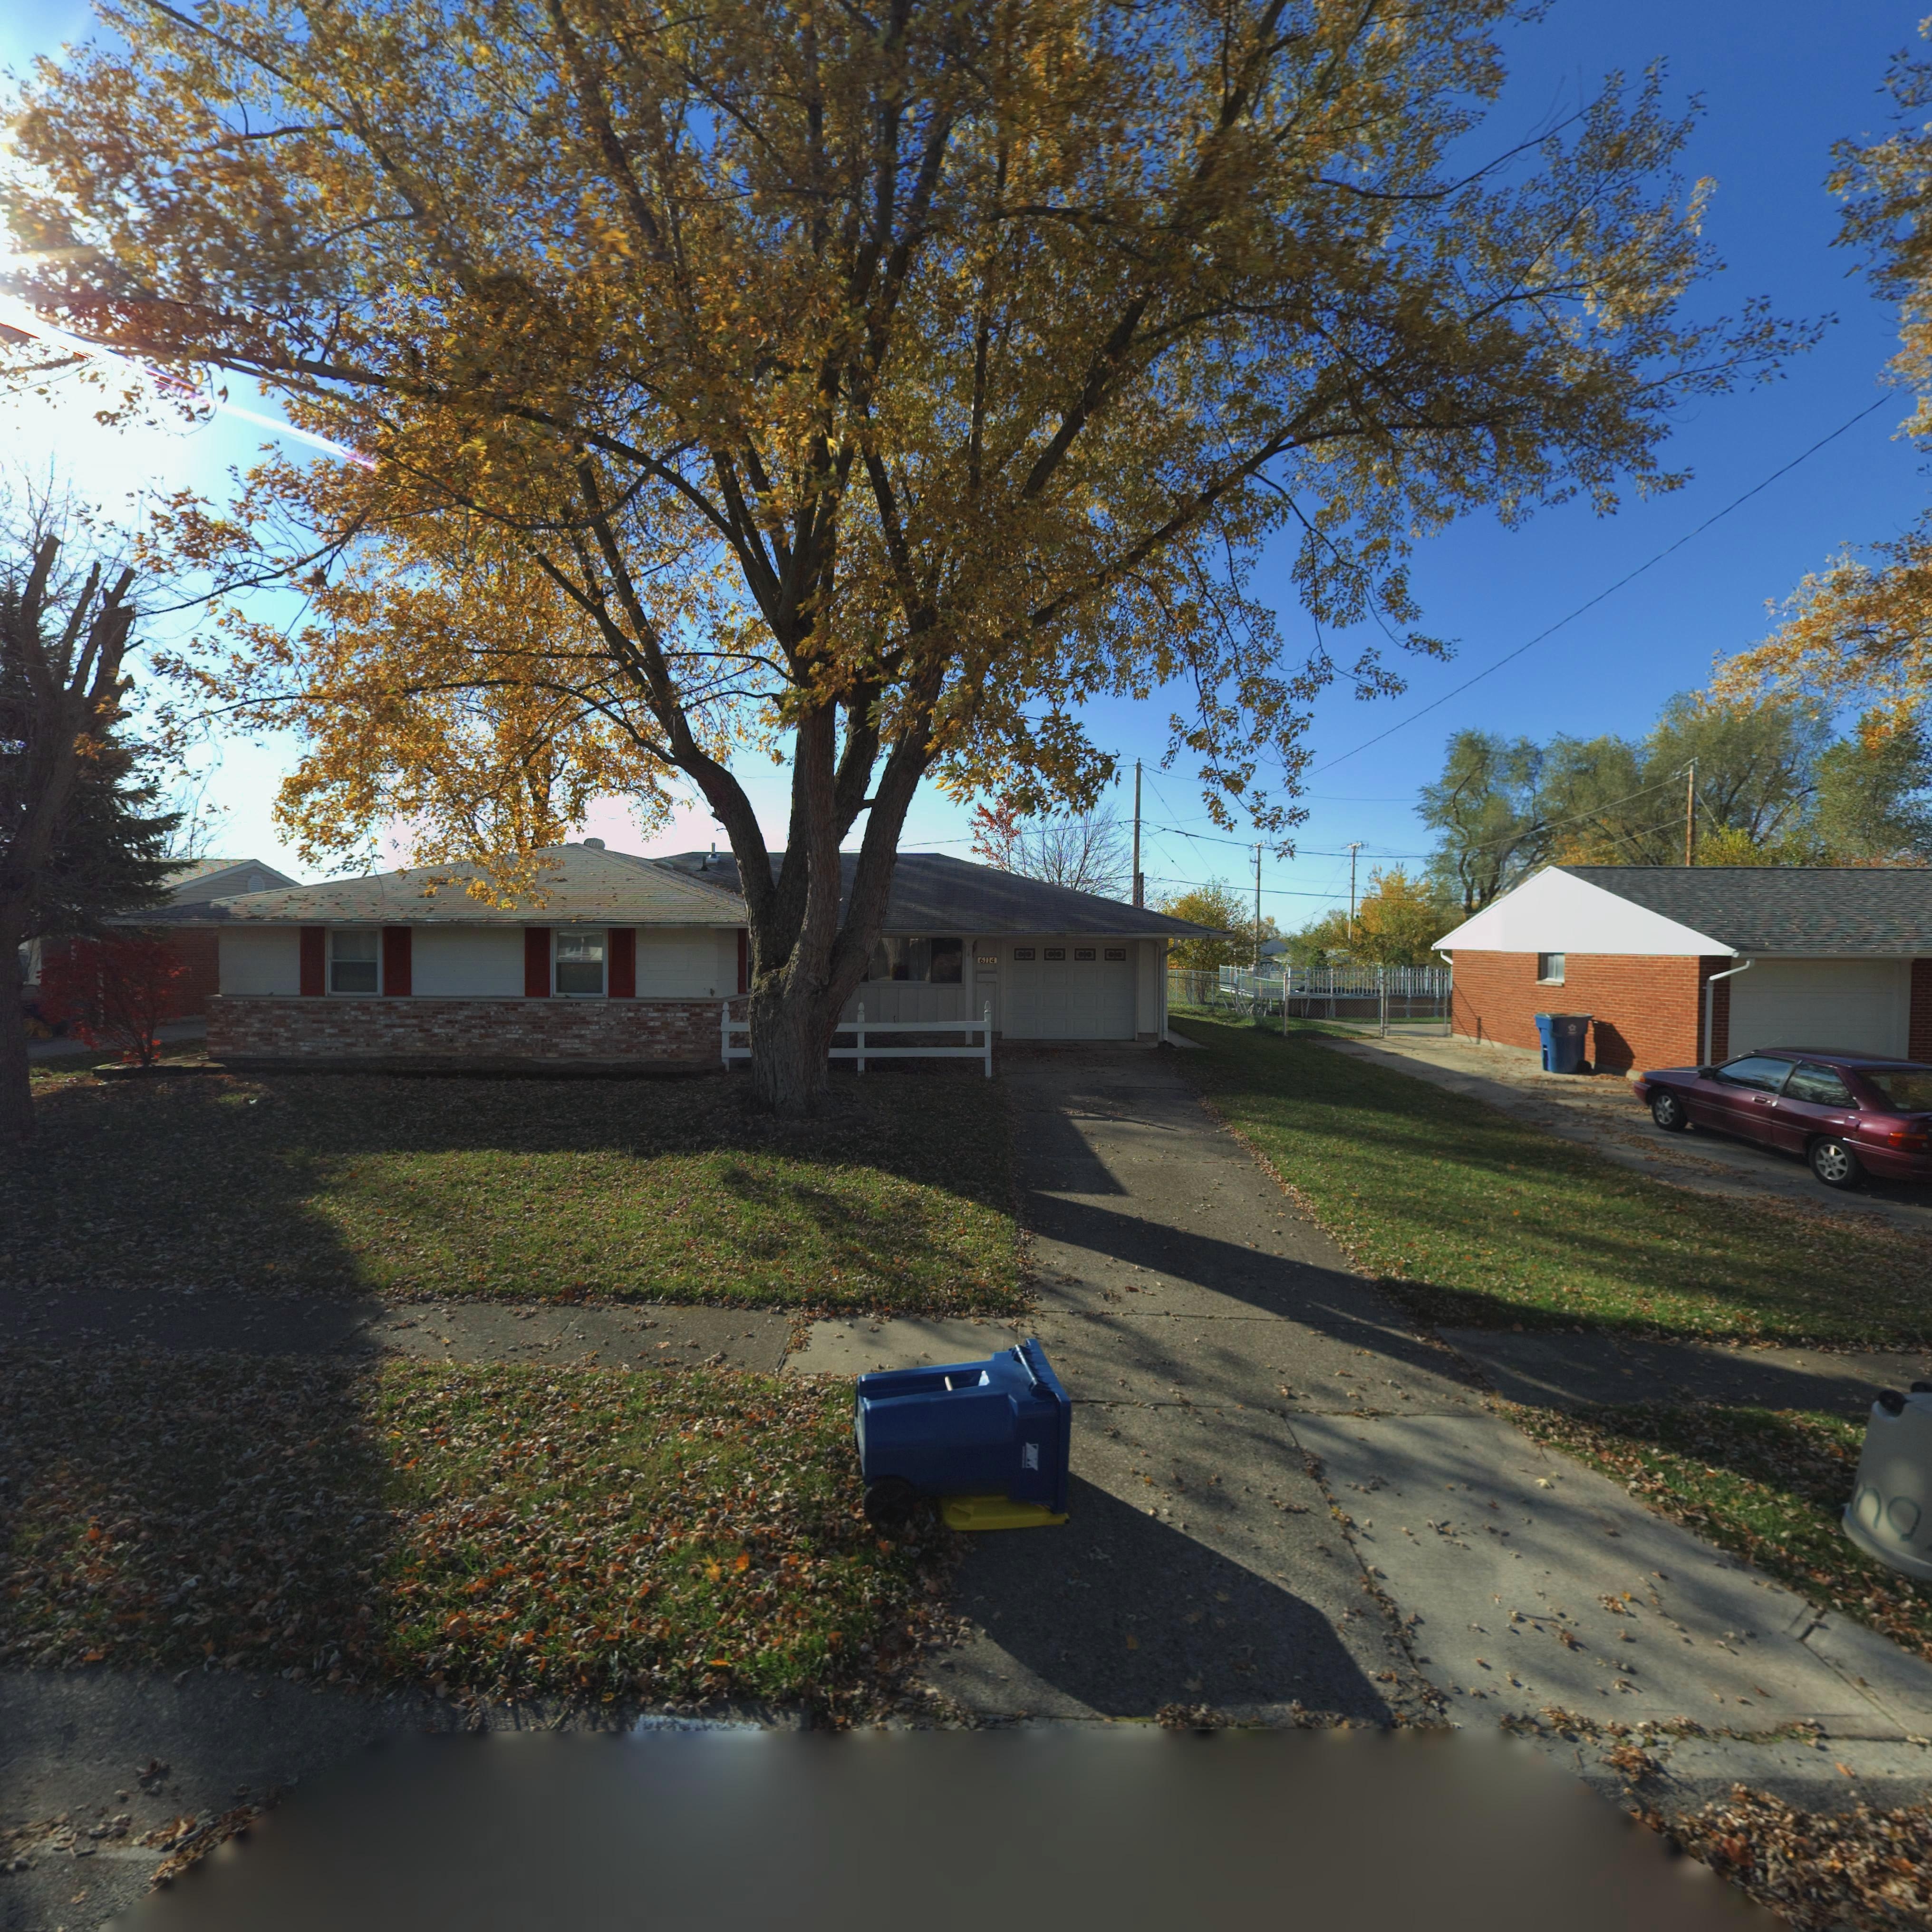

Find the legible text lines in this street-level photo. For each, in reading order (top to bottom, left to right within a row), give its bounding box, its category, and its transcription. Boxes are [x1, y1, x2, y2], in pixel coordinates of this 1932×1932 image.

[979, 956, 995, 964] StreetNumber: 6114